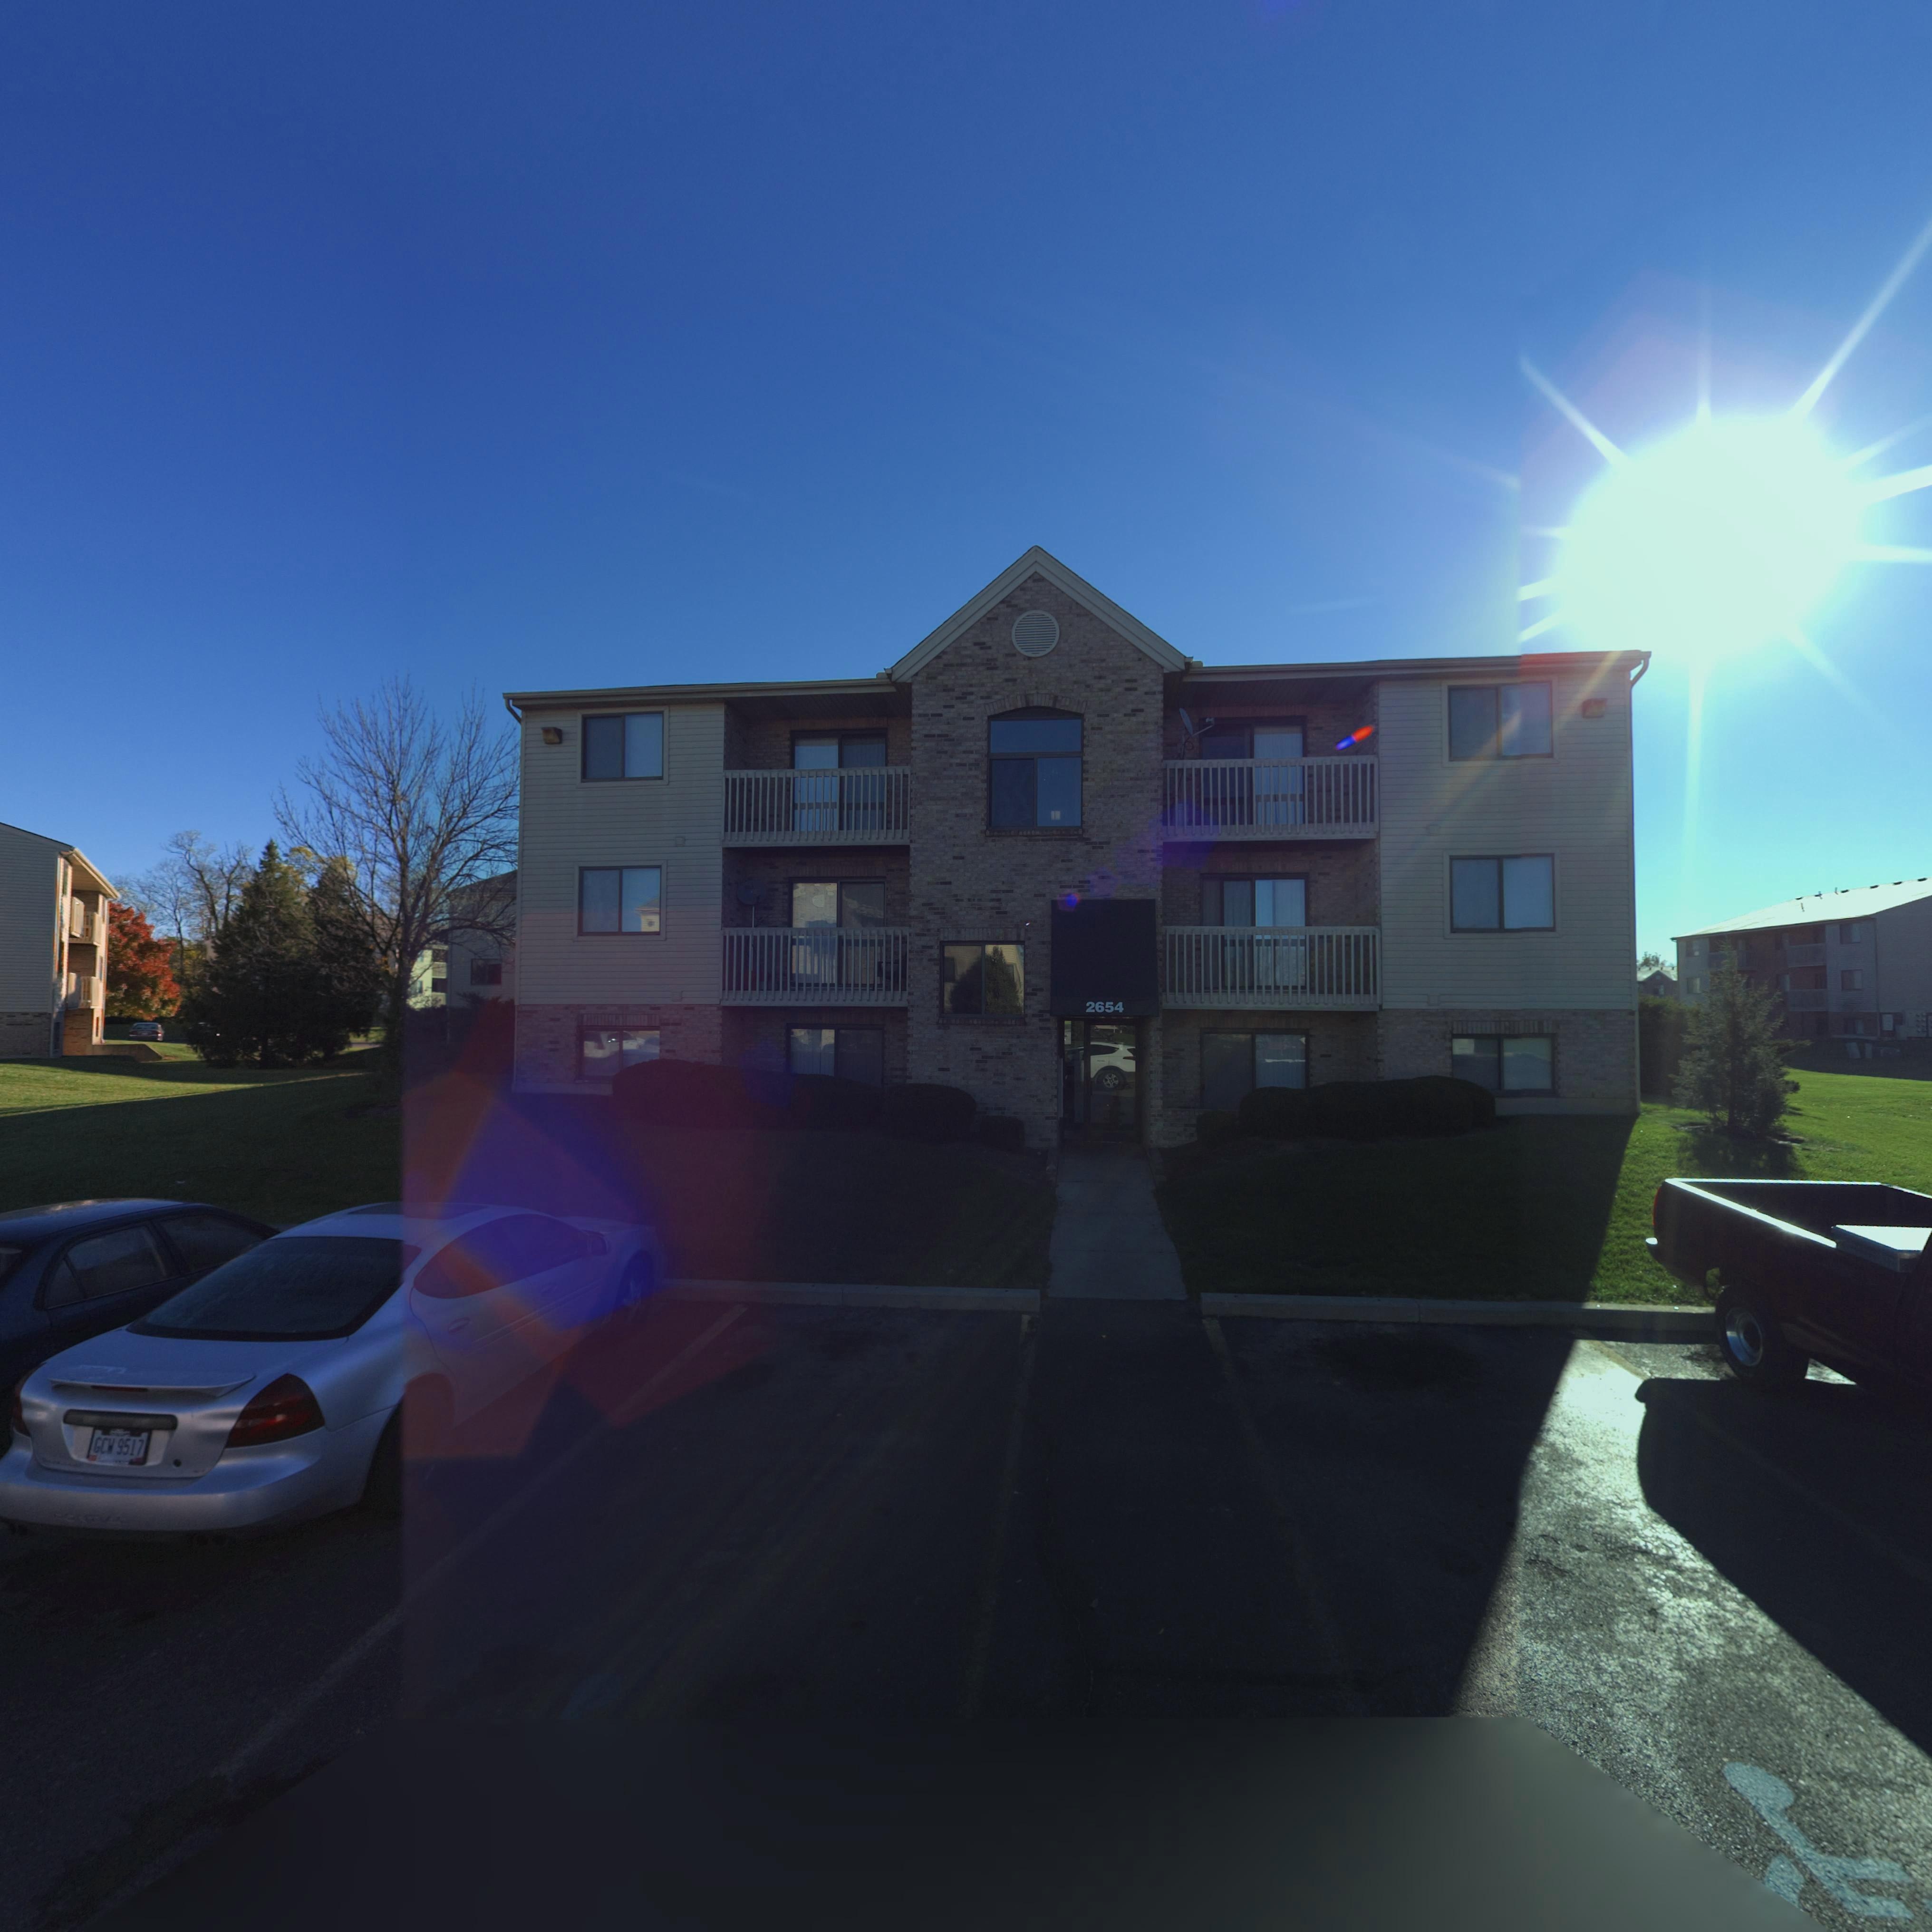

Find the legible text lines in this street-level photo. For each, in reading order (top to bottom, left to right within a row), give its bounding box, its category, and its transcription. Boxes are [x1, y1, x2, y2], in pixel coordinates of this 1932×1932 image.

[1085, 1001, 1124, 1014] StreetNumber: 2654